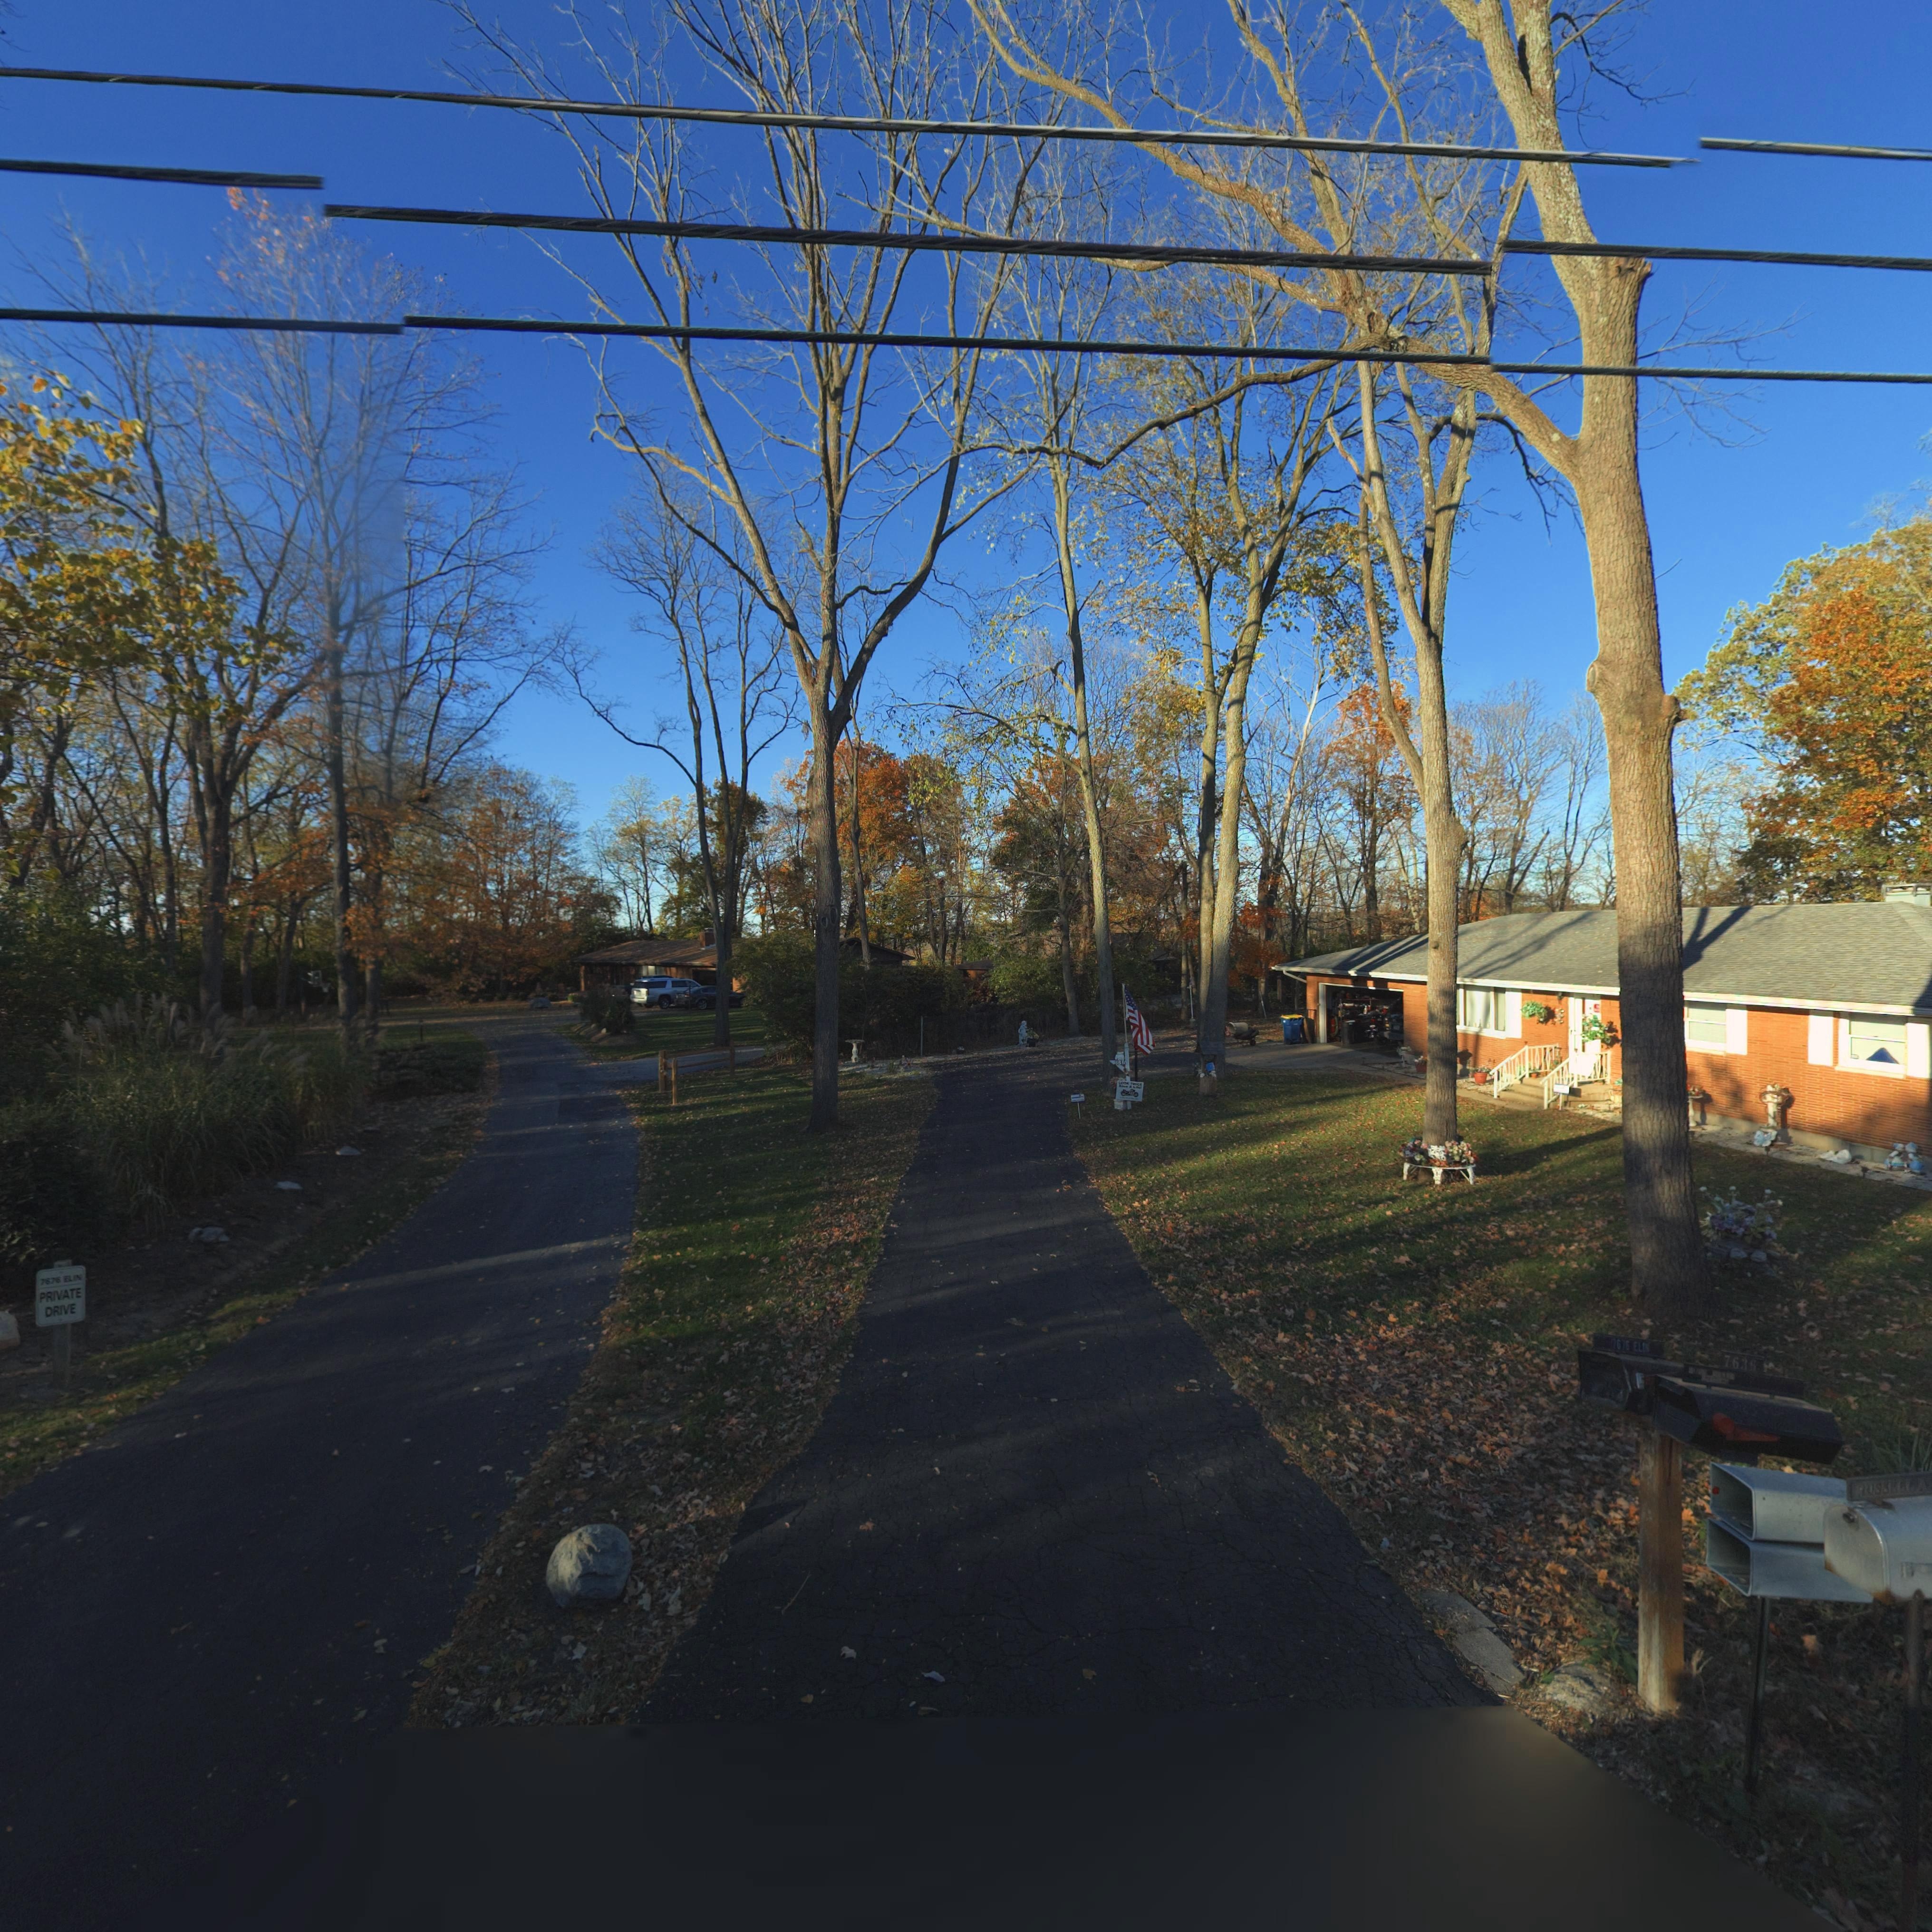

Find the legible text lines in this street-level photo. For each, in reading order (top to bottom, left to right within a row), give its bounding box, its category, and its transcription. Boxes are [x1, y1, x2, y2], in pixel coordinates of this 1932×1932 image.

[1611, 1337, 1631, 1352] StreetNumber: 7675
[1723, 1354, 1758, 1373] StreetNumber: 7636